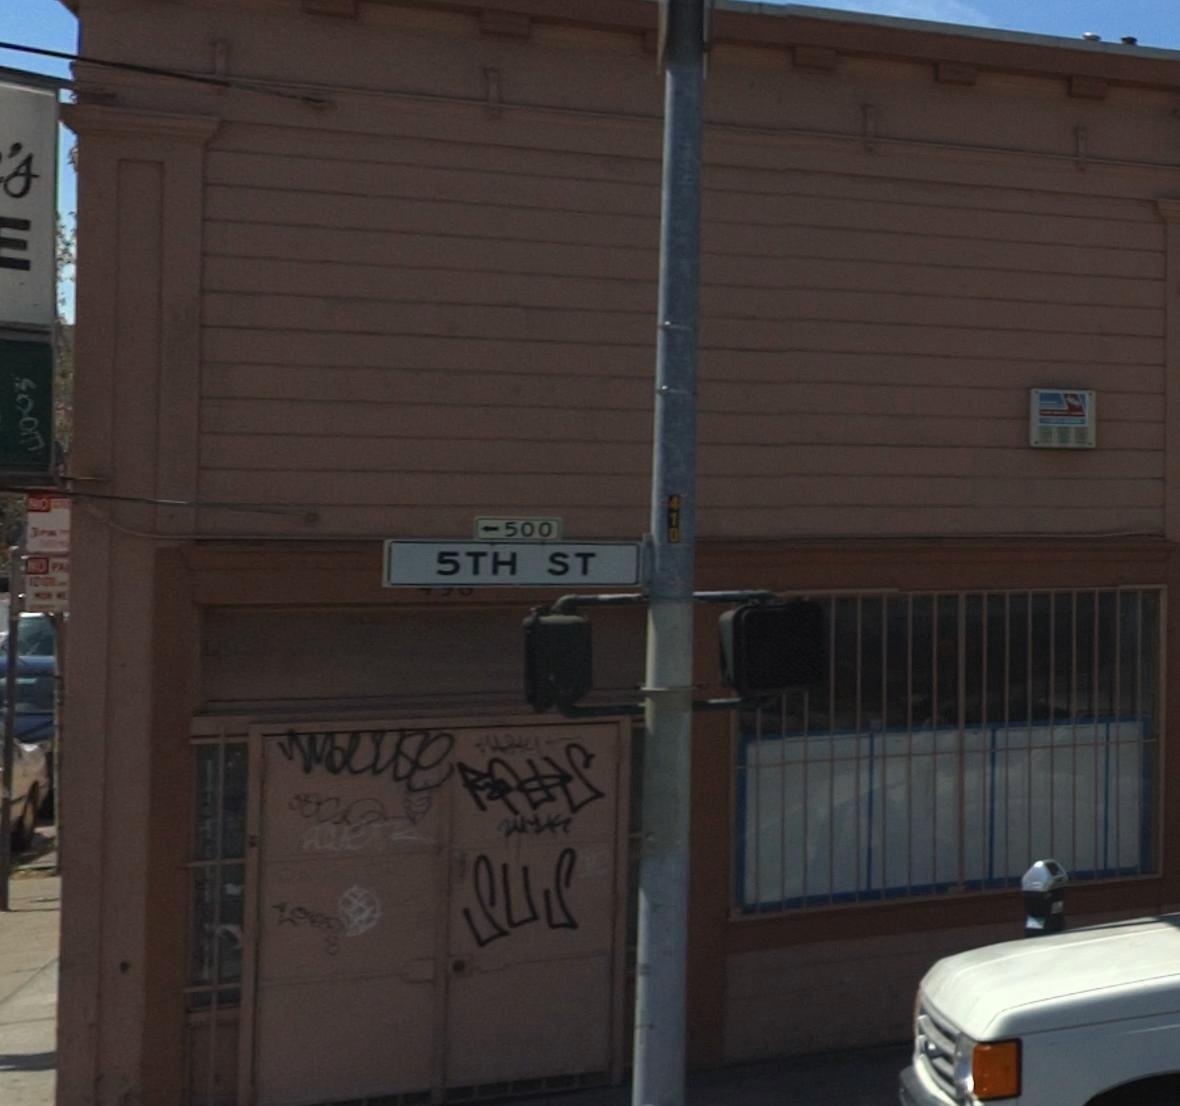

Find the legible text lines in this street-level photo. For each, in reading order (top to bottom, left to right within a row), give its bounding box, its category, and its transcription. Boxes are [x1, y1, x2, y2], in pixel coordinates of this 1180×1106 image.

[0, 139, 44, 200] None: 's
[479, 520, 554, 539] StreetNumberRange: <-500
[668, 495, 681, 543] None: 410
[432, 548, 597, 580] StreetName: 5TH ST
[458, 840, 591, 952] None: SUS